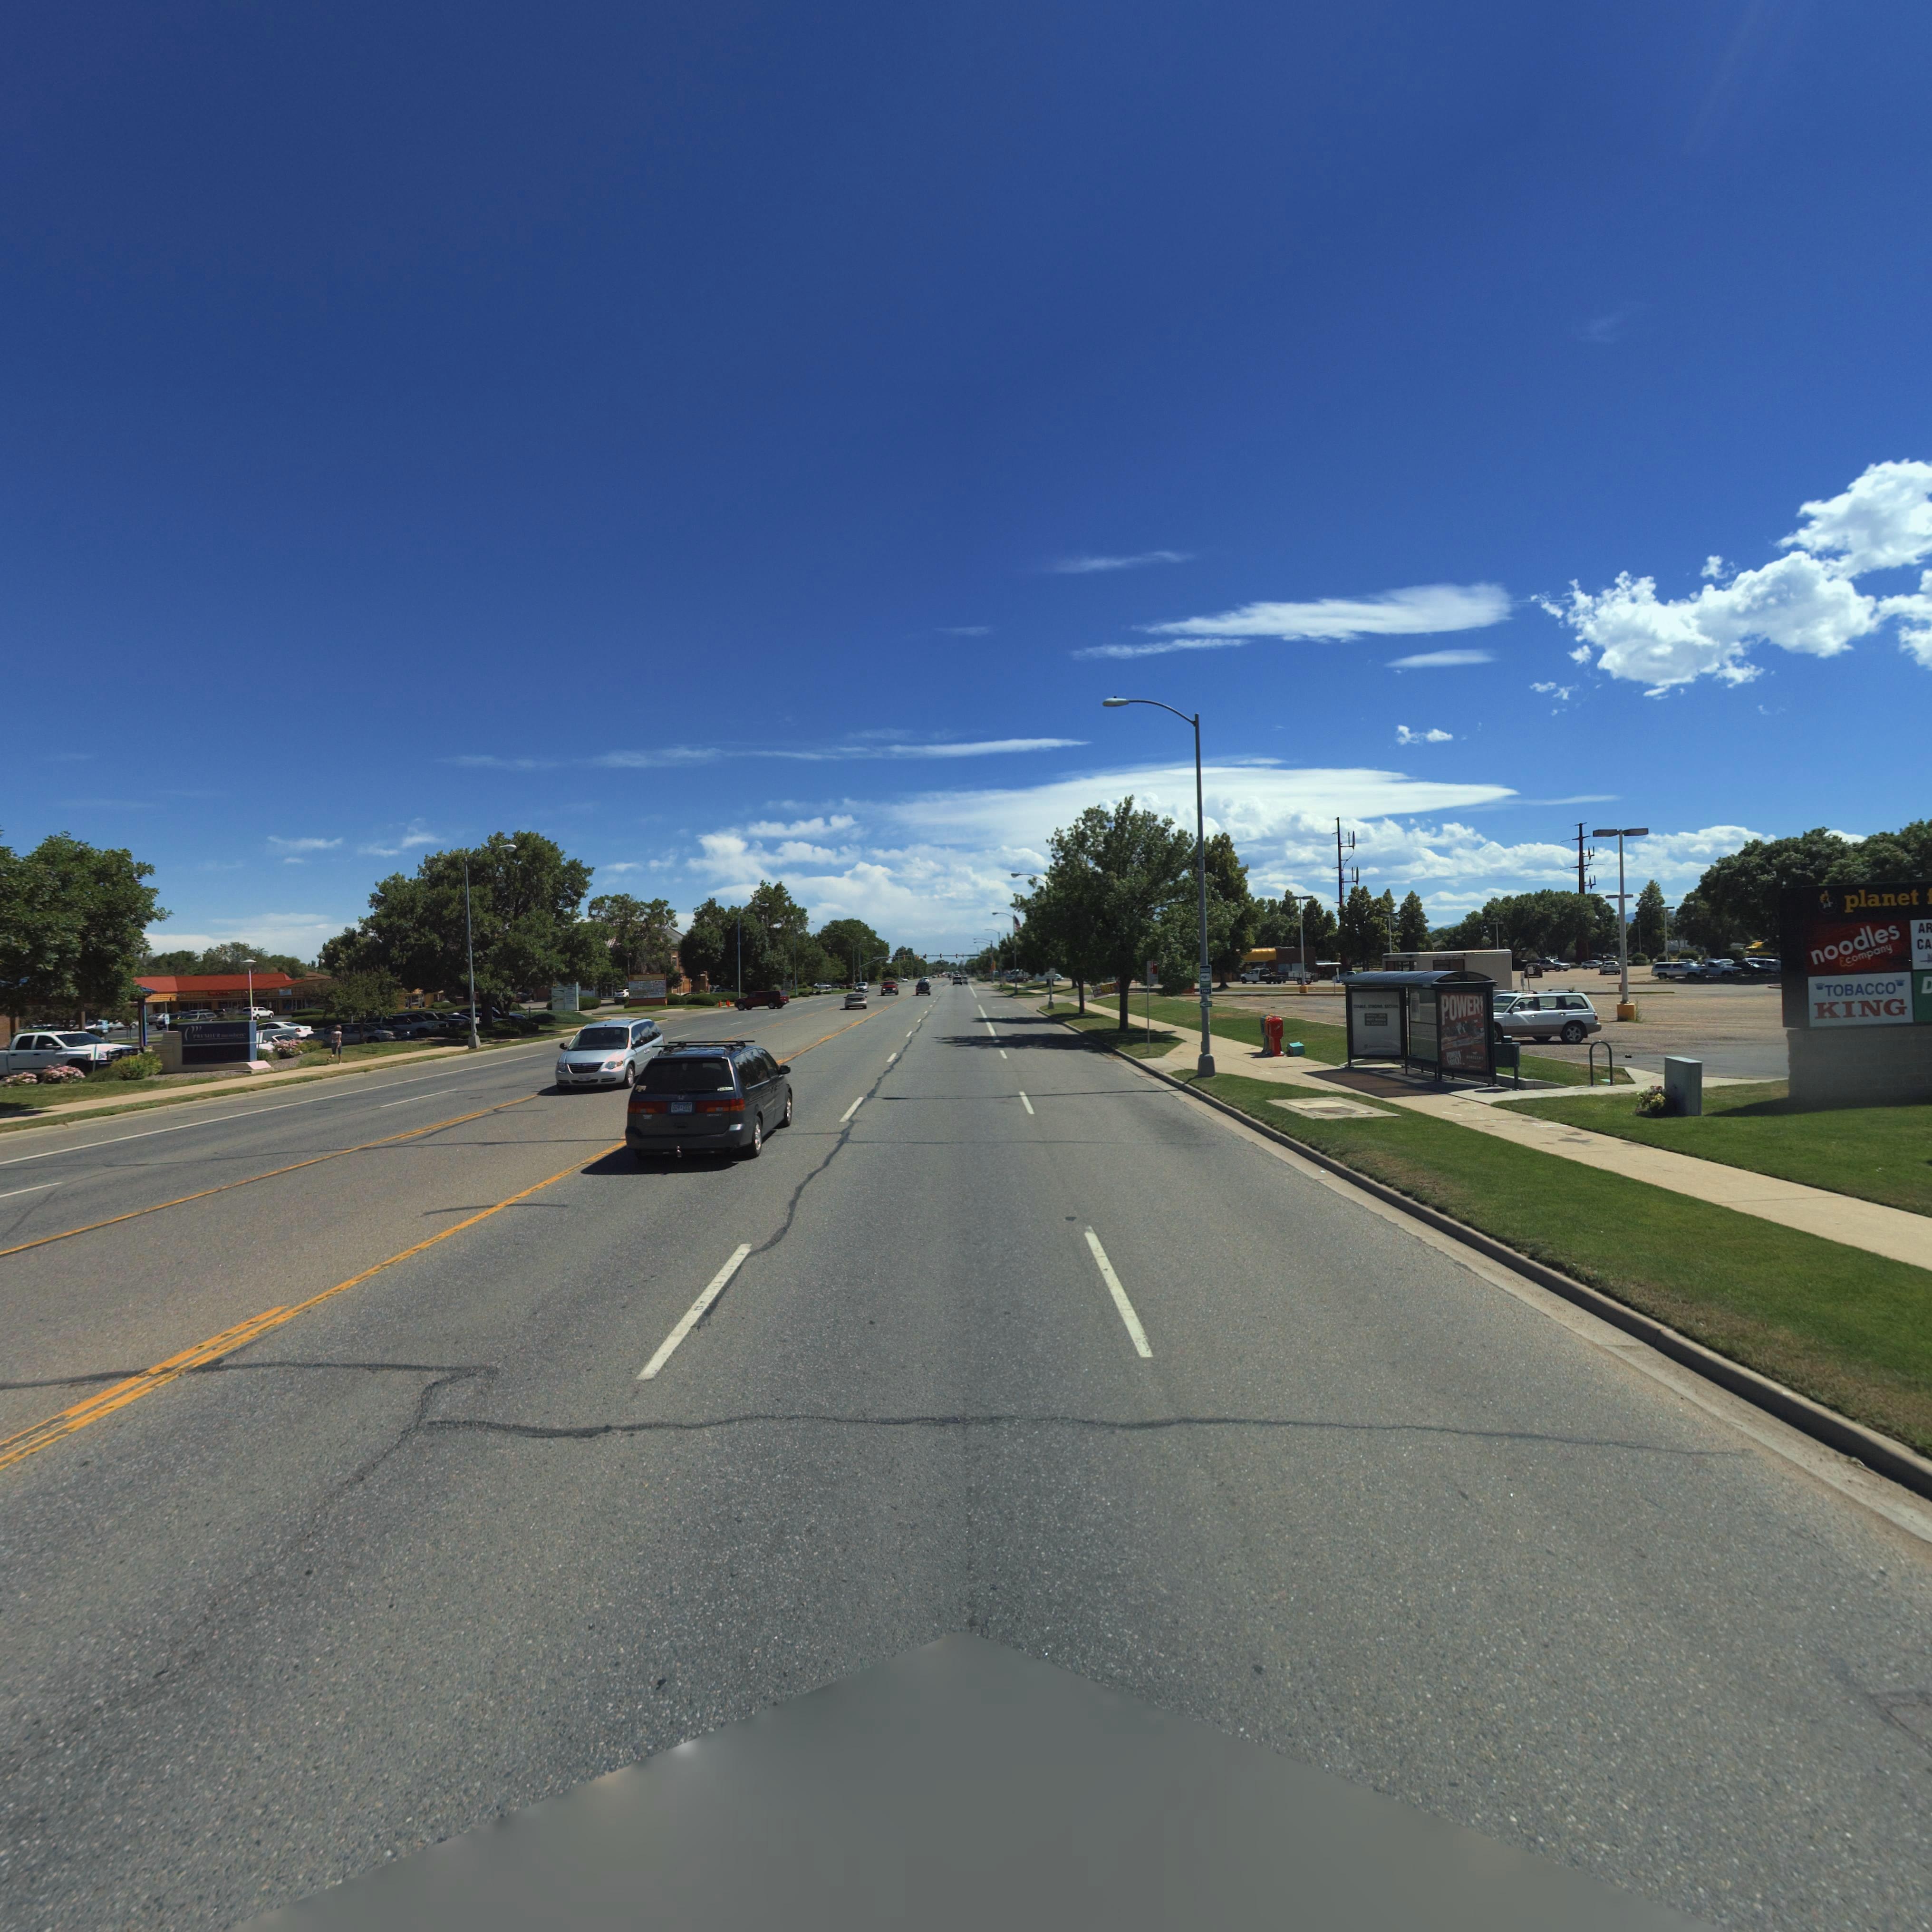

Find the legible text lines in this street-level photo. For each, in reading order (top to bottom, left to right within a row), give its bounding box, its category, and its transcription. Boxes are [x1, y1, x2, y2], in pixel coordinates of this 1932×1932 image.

[1844, 888, 1921, 913] BusinessName: planet
[1918, 922, 1931, 933] BusinessName: A*
[1809, 924, 1901, 966] BusinessName: noodles
[1838, 943, 1893, 967] BusinessName: * company
[1917, 938, 1931, 950] BusinessName: CA
[1824, 981, 1897, 997] BusinessName: TOBACCO
[1814, 997, 1908, 1020] BusinessName: KING